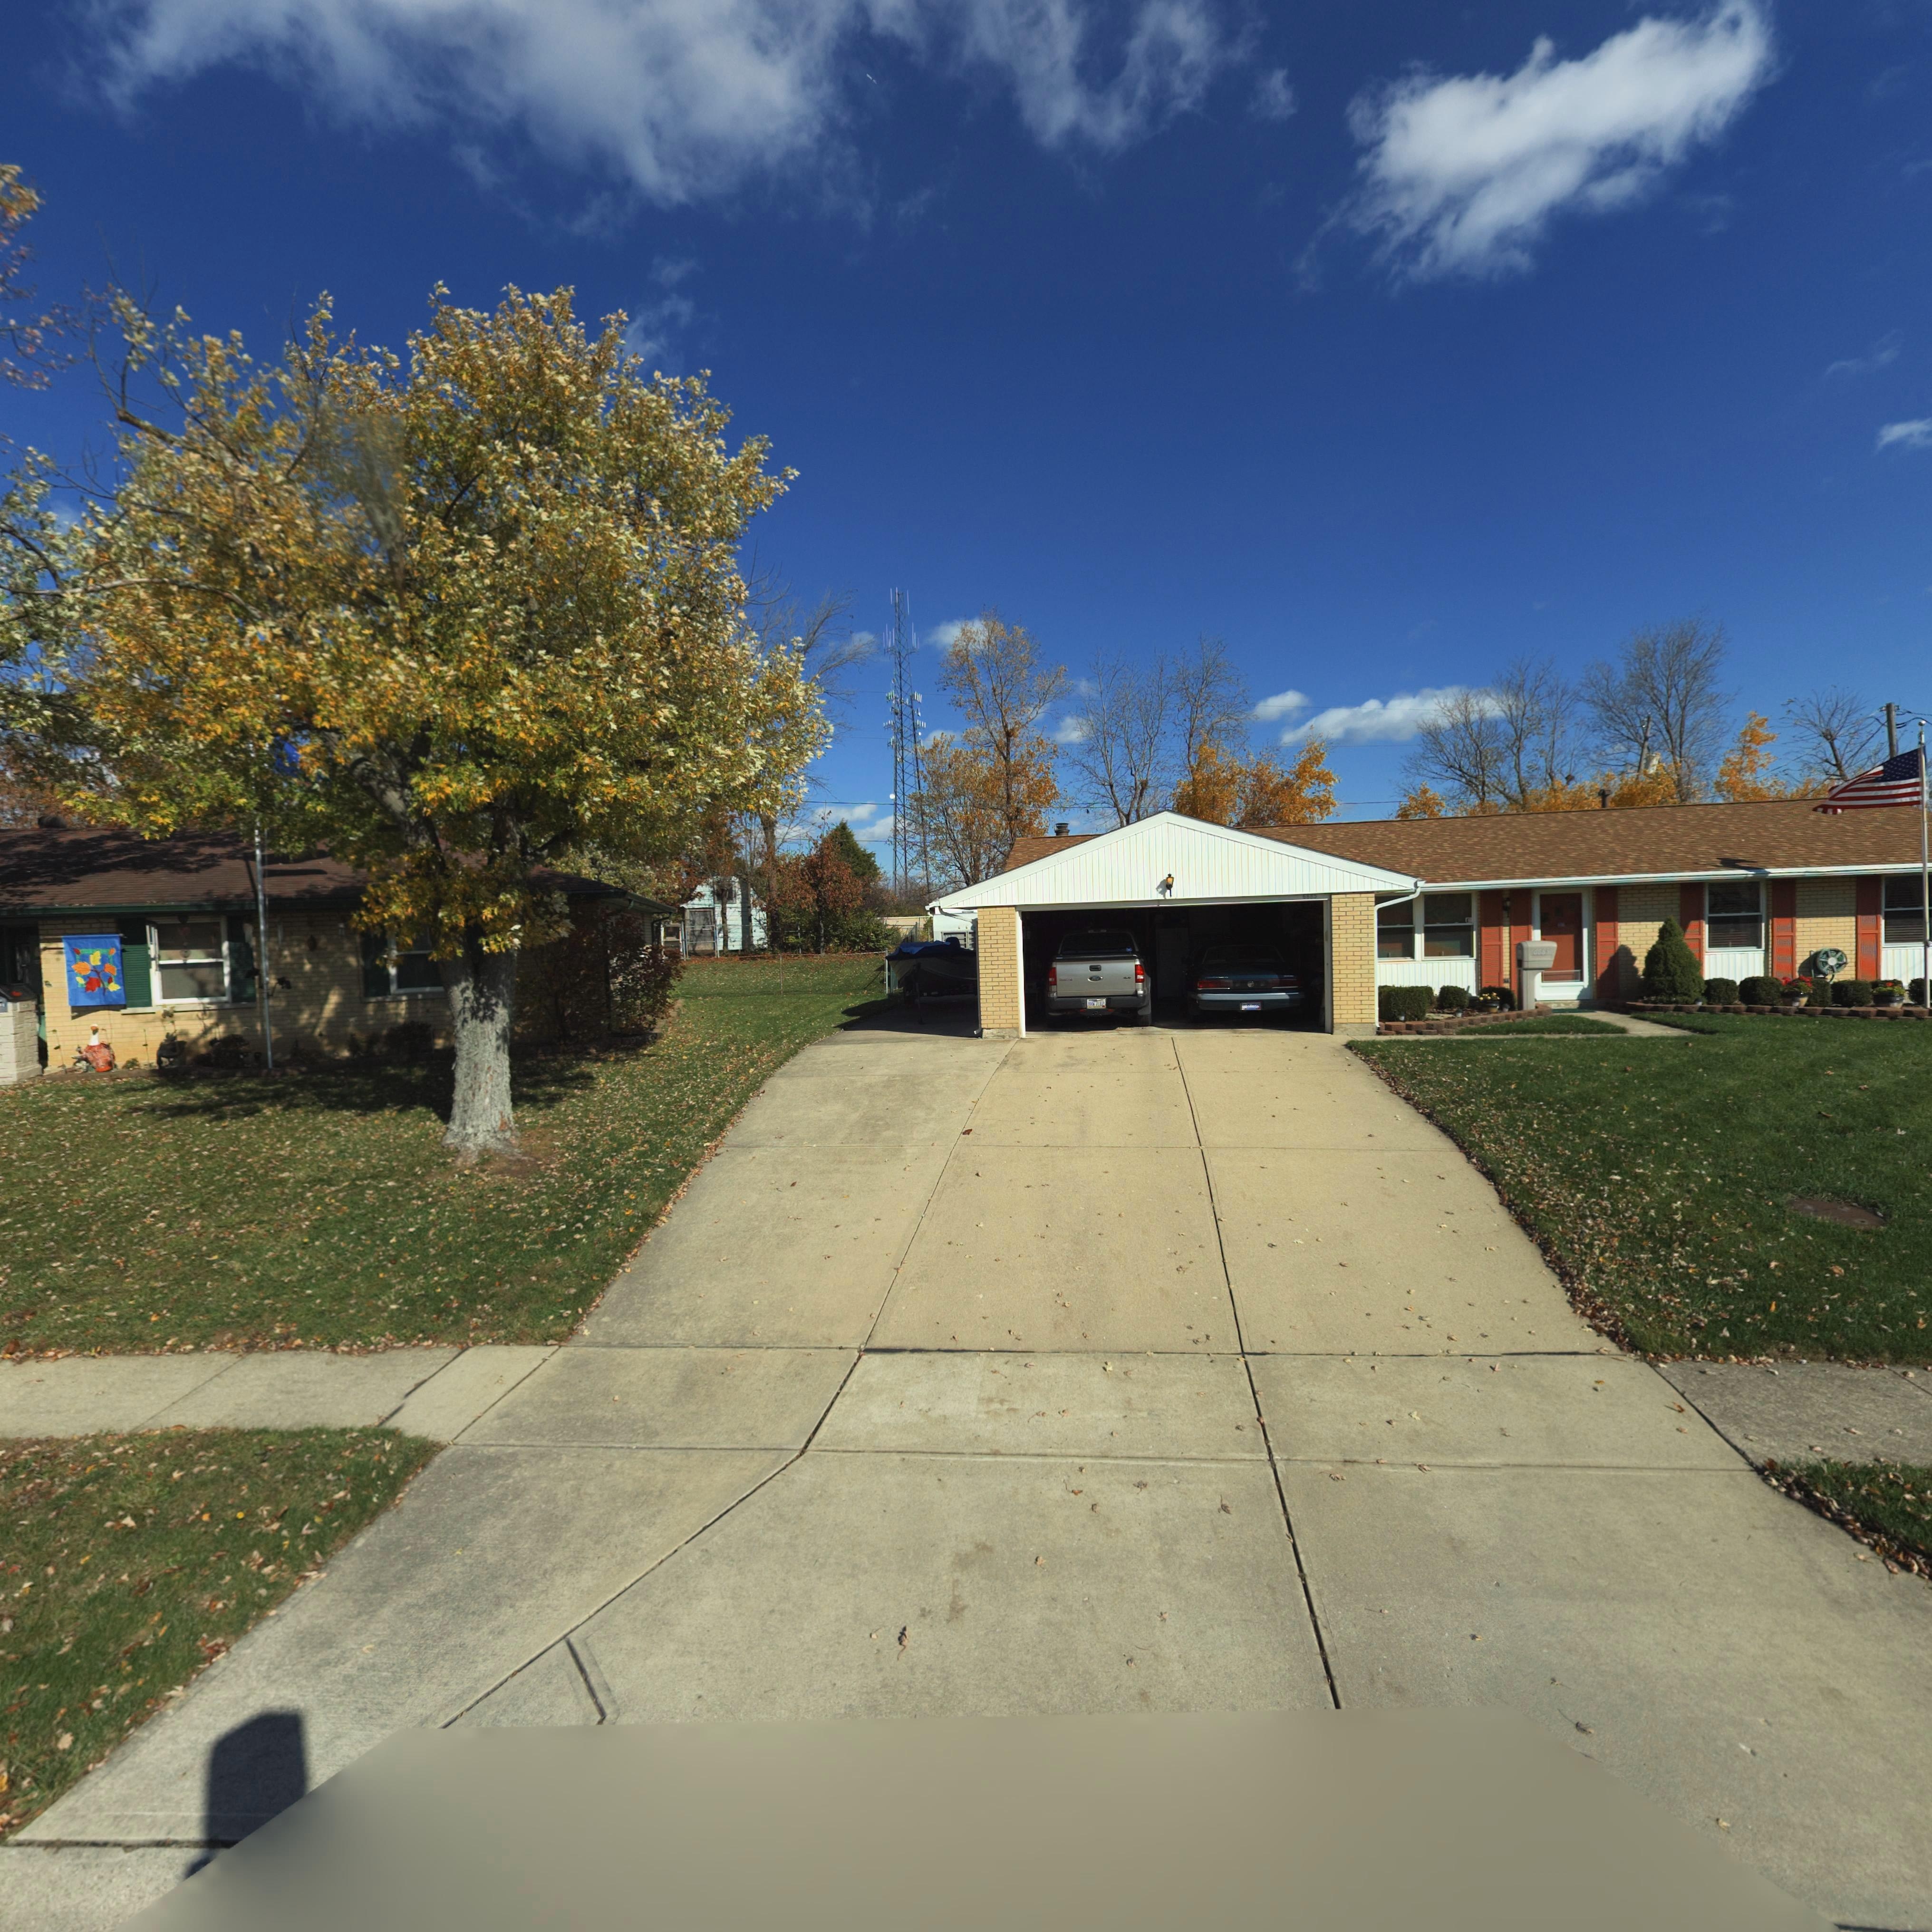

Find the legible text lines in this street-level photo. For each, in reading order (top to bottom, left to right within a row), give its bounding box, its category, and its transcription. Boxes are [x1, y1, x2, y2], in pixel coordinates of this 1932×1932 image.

[1301, 893, 1319, 900] StreetNumber: 6***
[1532, 947, 1551, 957] StreetNumber: 6*85